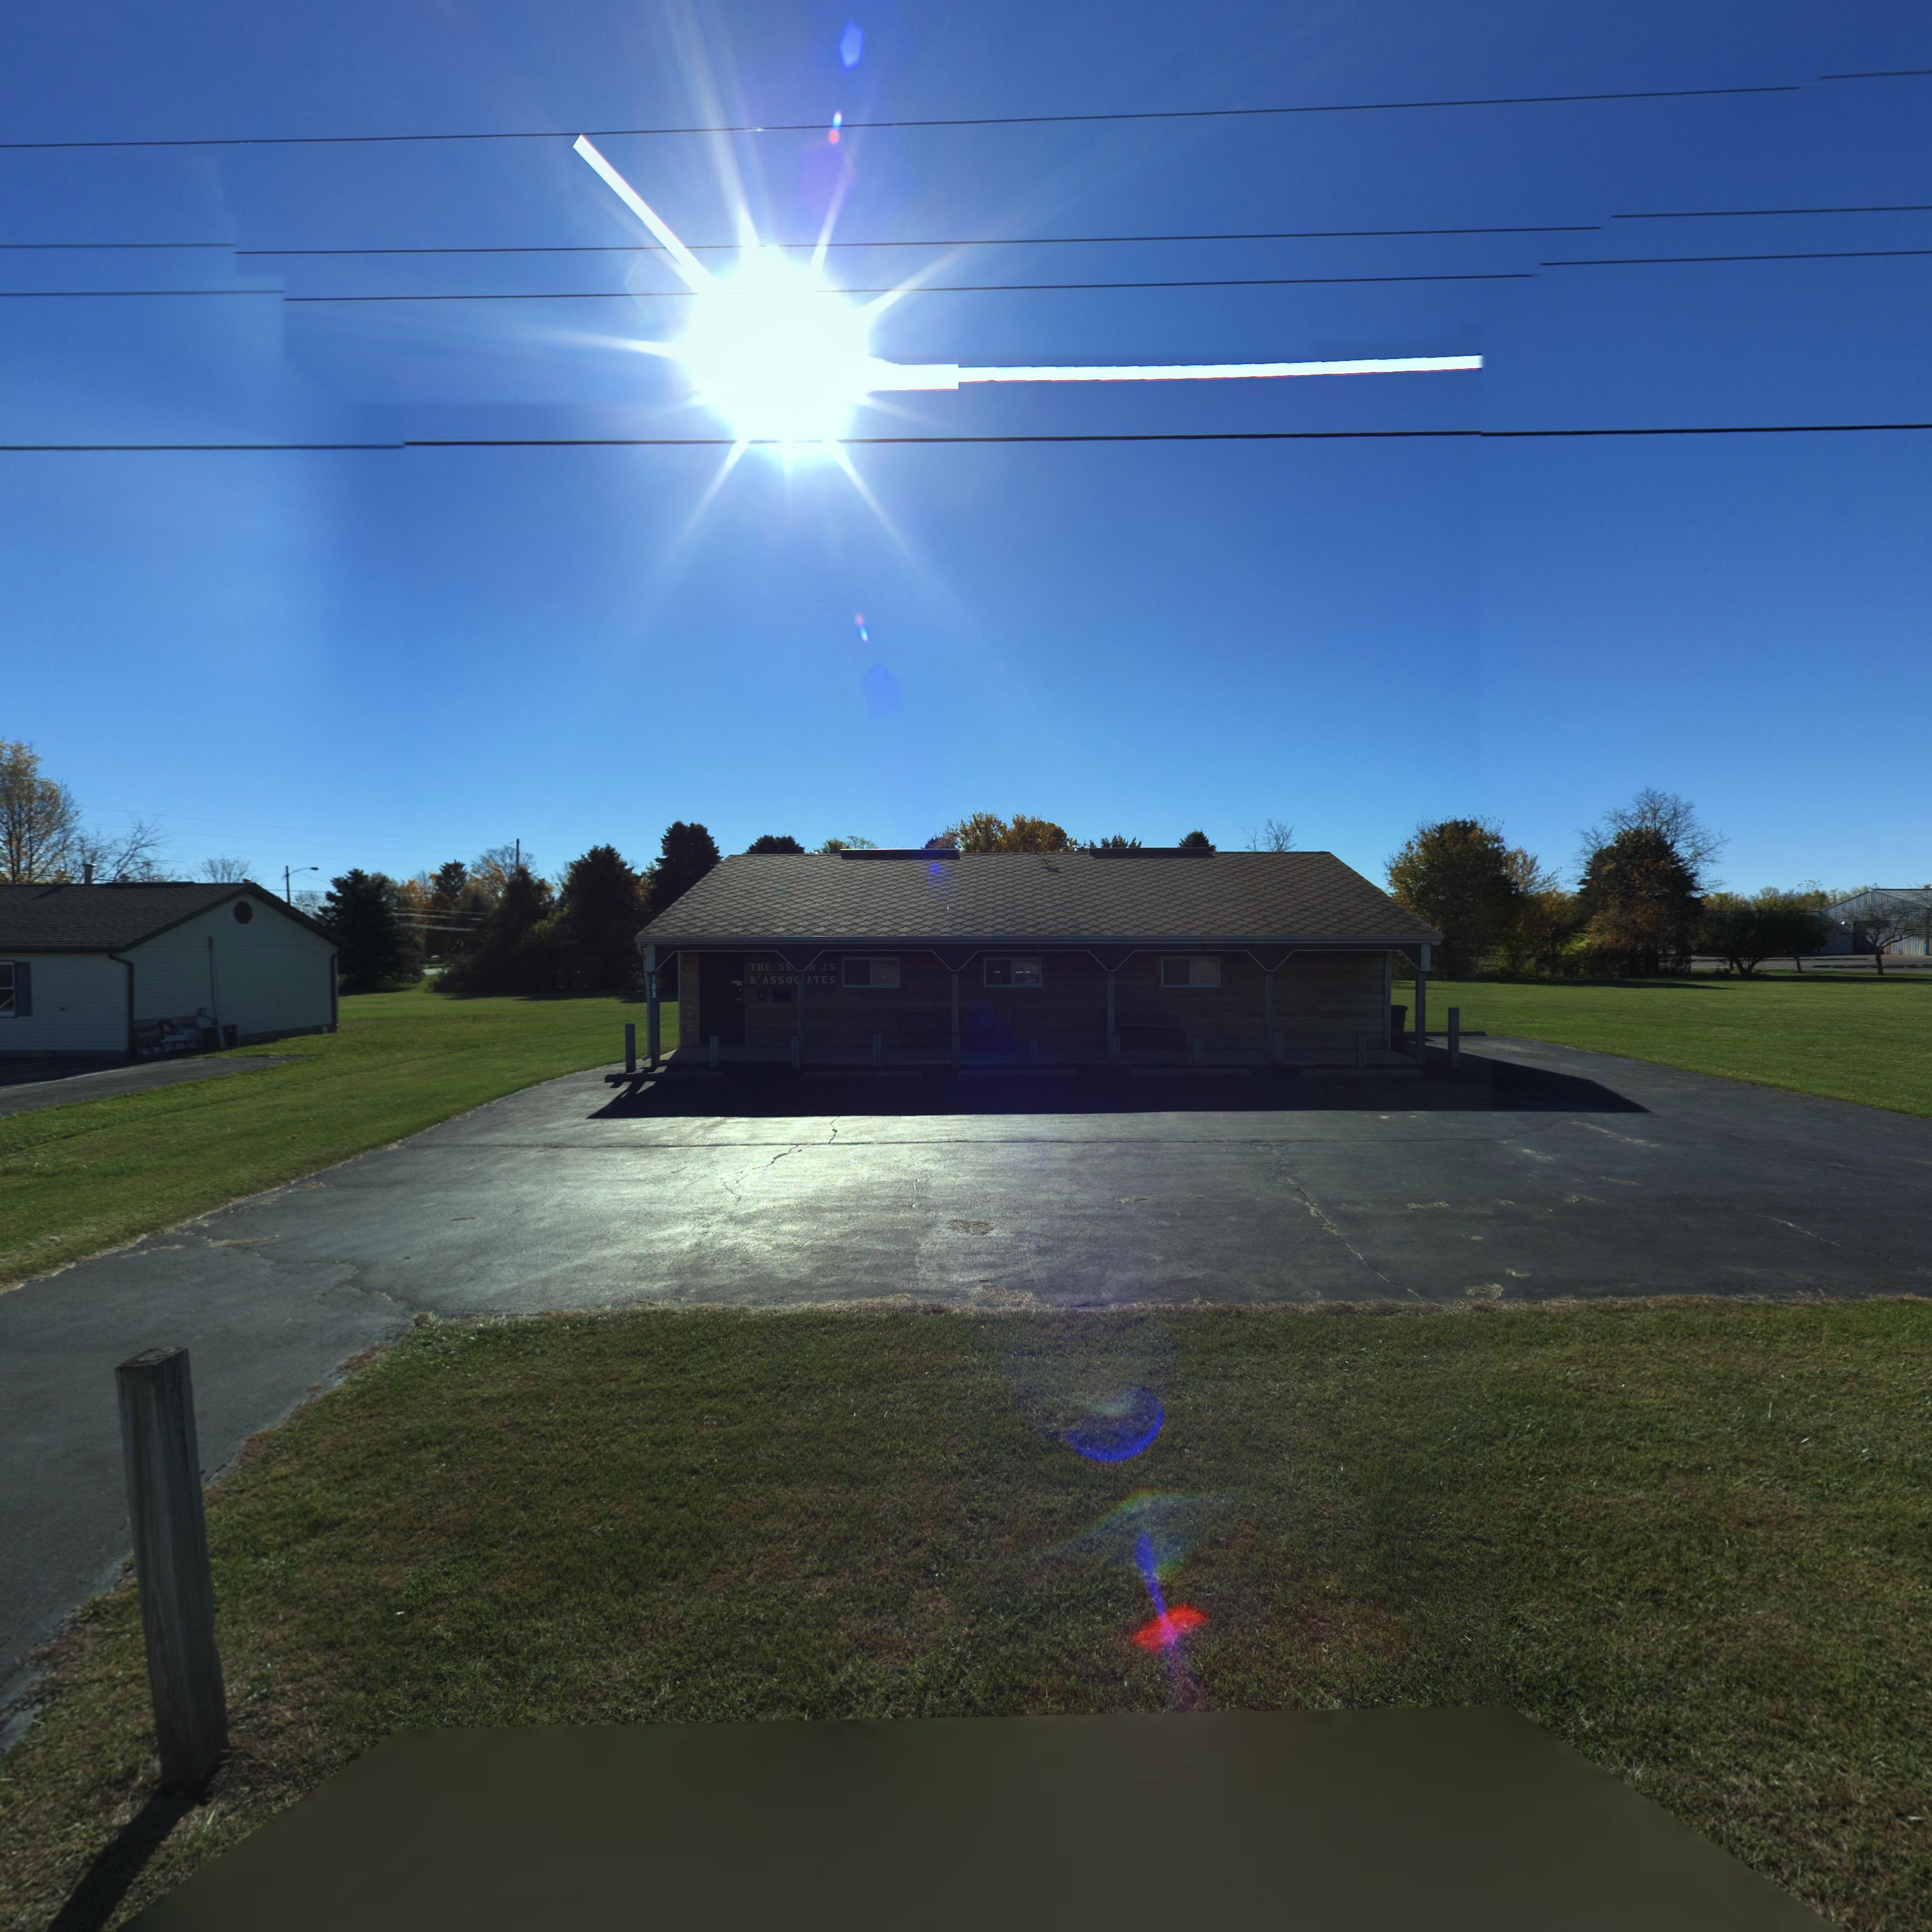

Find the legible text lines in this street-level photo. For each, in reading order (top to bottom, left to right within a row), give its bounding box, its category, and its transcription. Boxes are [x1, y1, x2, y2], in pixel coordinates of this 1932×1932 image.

[651, 975, 657, 998] StreetNumber: 103